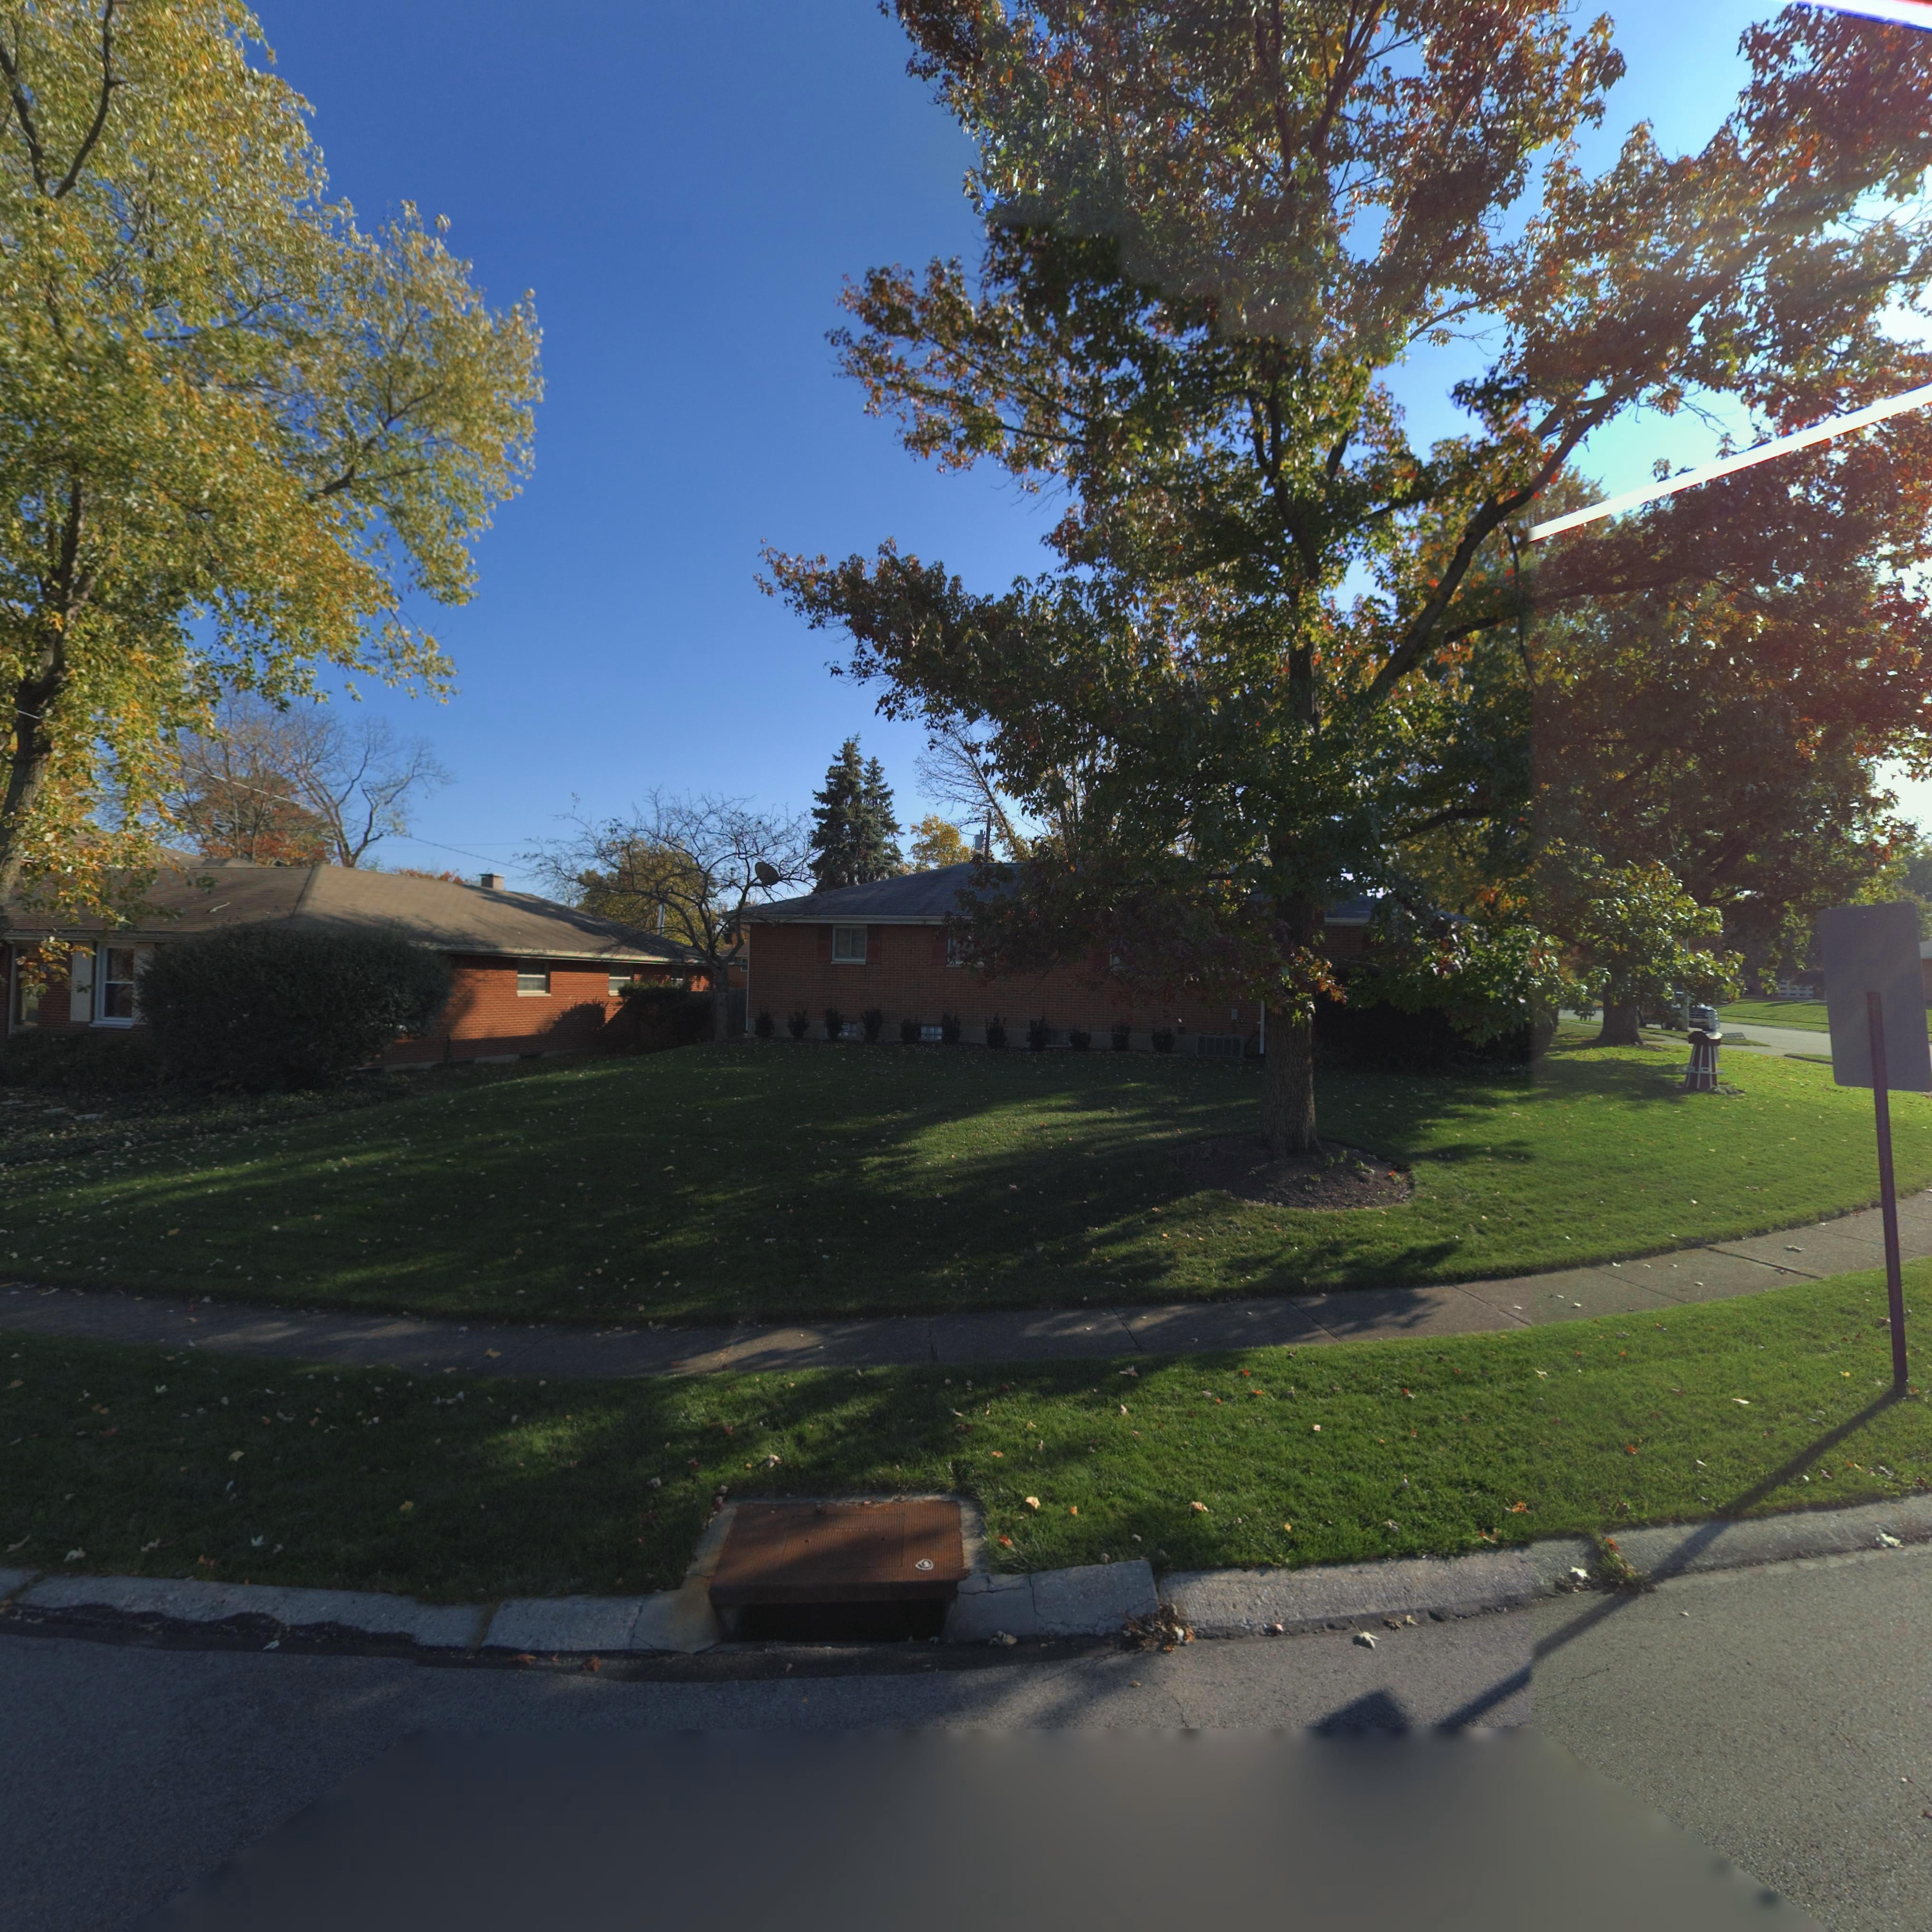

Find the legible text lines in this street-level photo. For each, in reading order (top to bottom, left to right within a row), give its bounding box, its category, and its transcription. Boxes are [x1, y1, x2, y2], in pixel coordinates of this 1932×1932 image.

[40, 963, 60, 974] StreetNumber: 63*